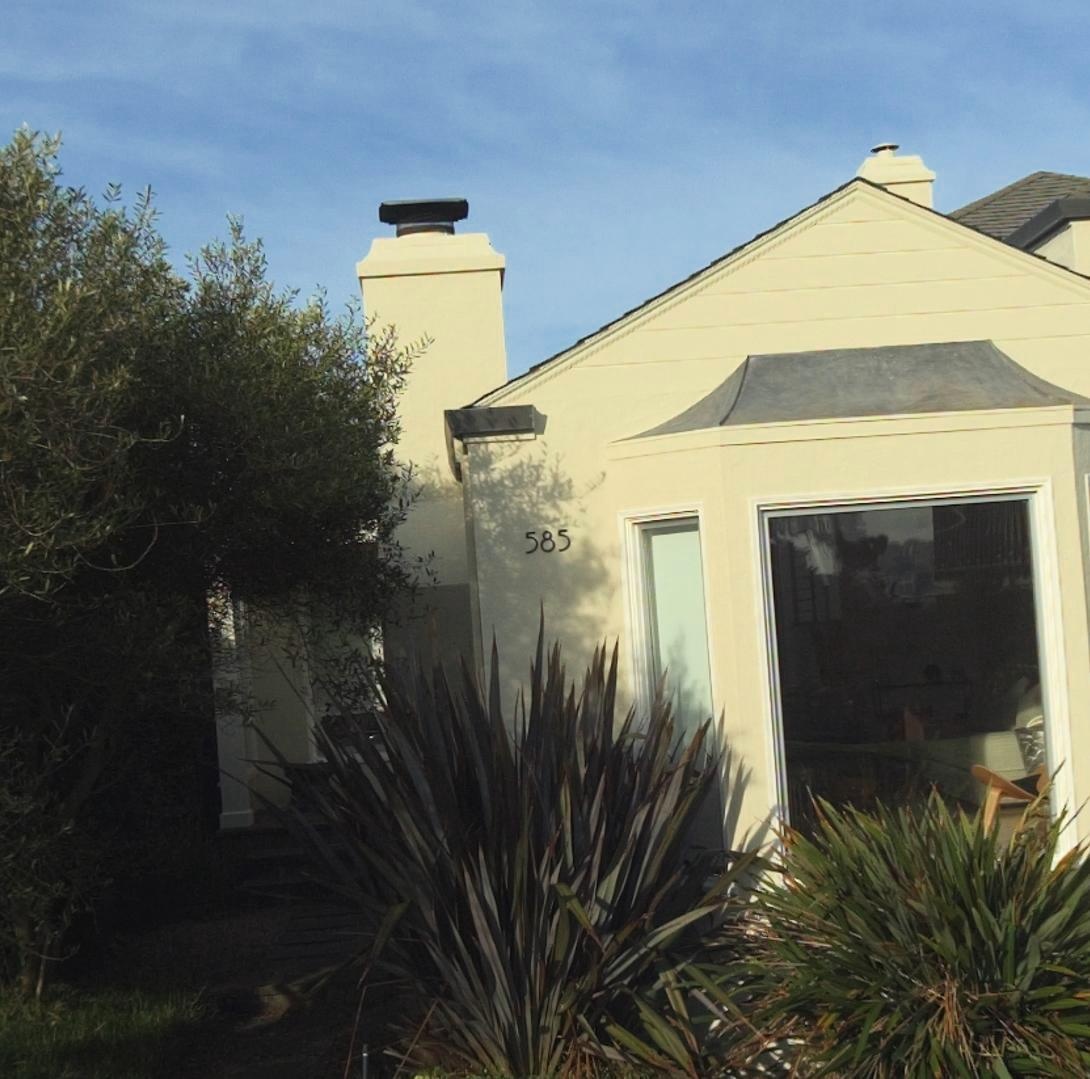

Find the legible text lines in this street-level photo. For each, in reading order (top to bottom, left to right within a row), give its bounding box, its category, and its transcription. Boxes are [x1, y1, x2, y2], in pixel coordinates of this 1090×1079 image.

[523, 526, 574, 557] StreetNumber: 585